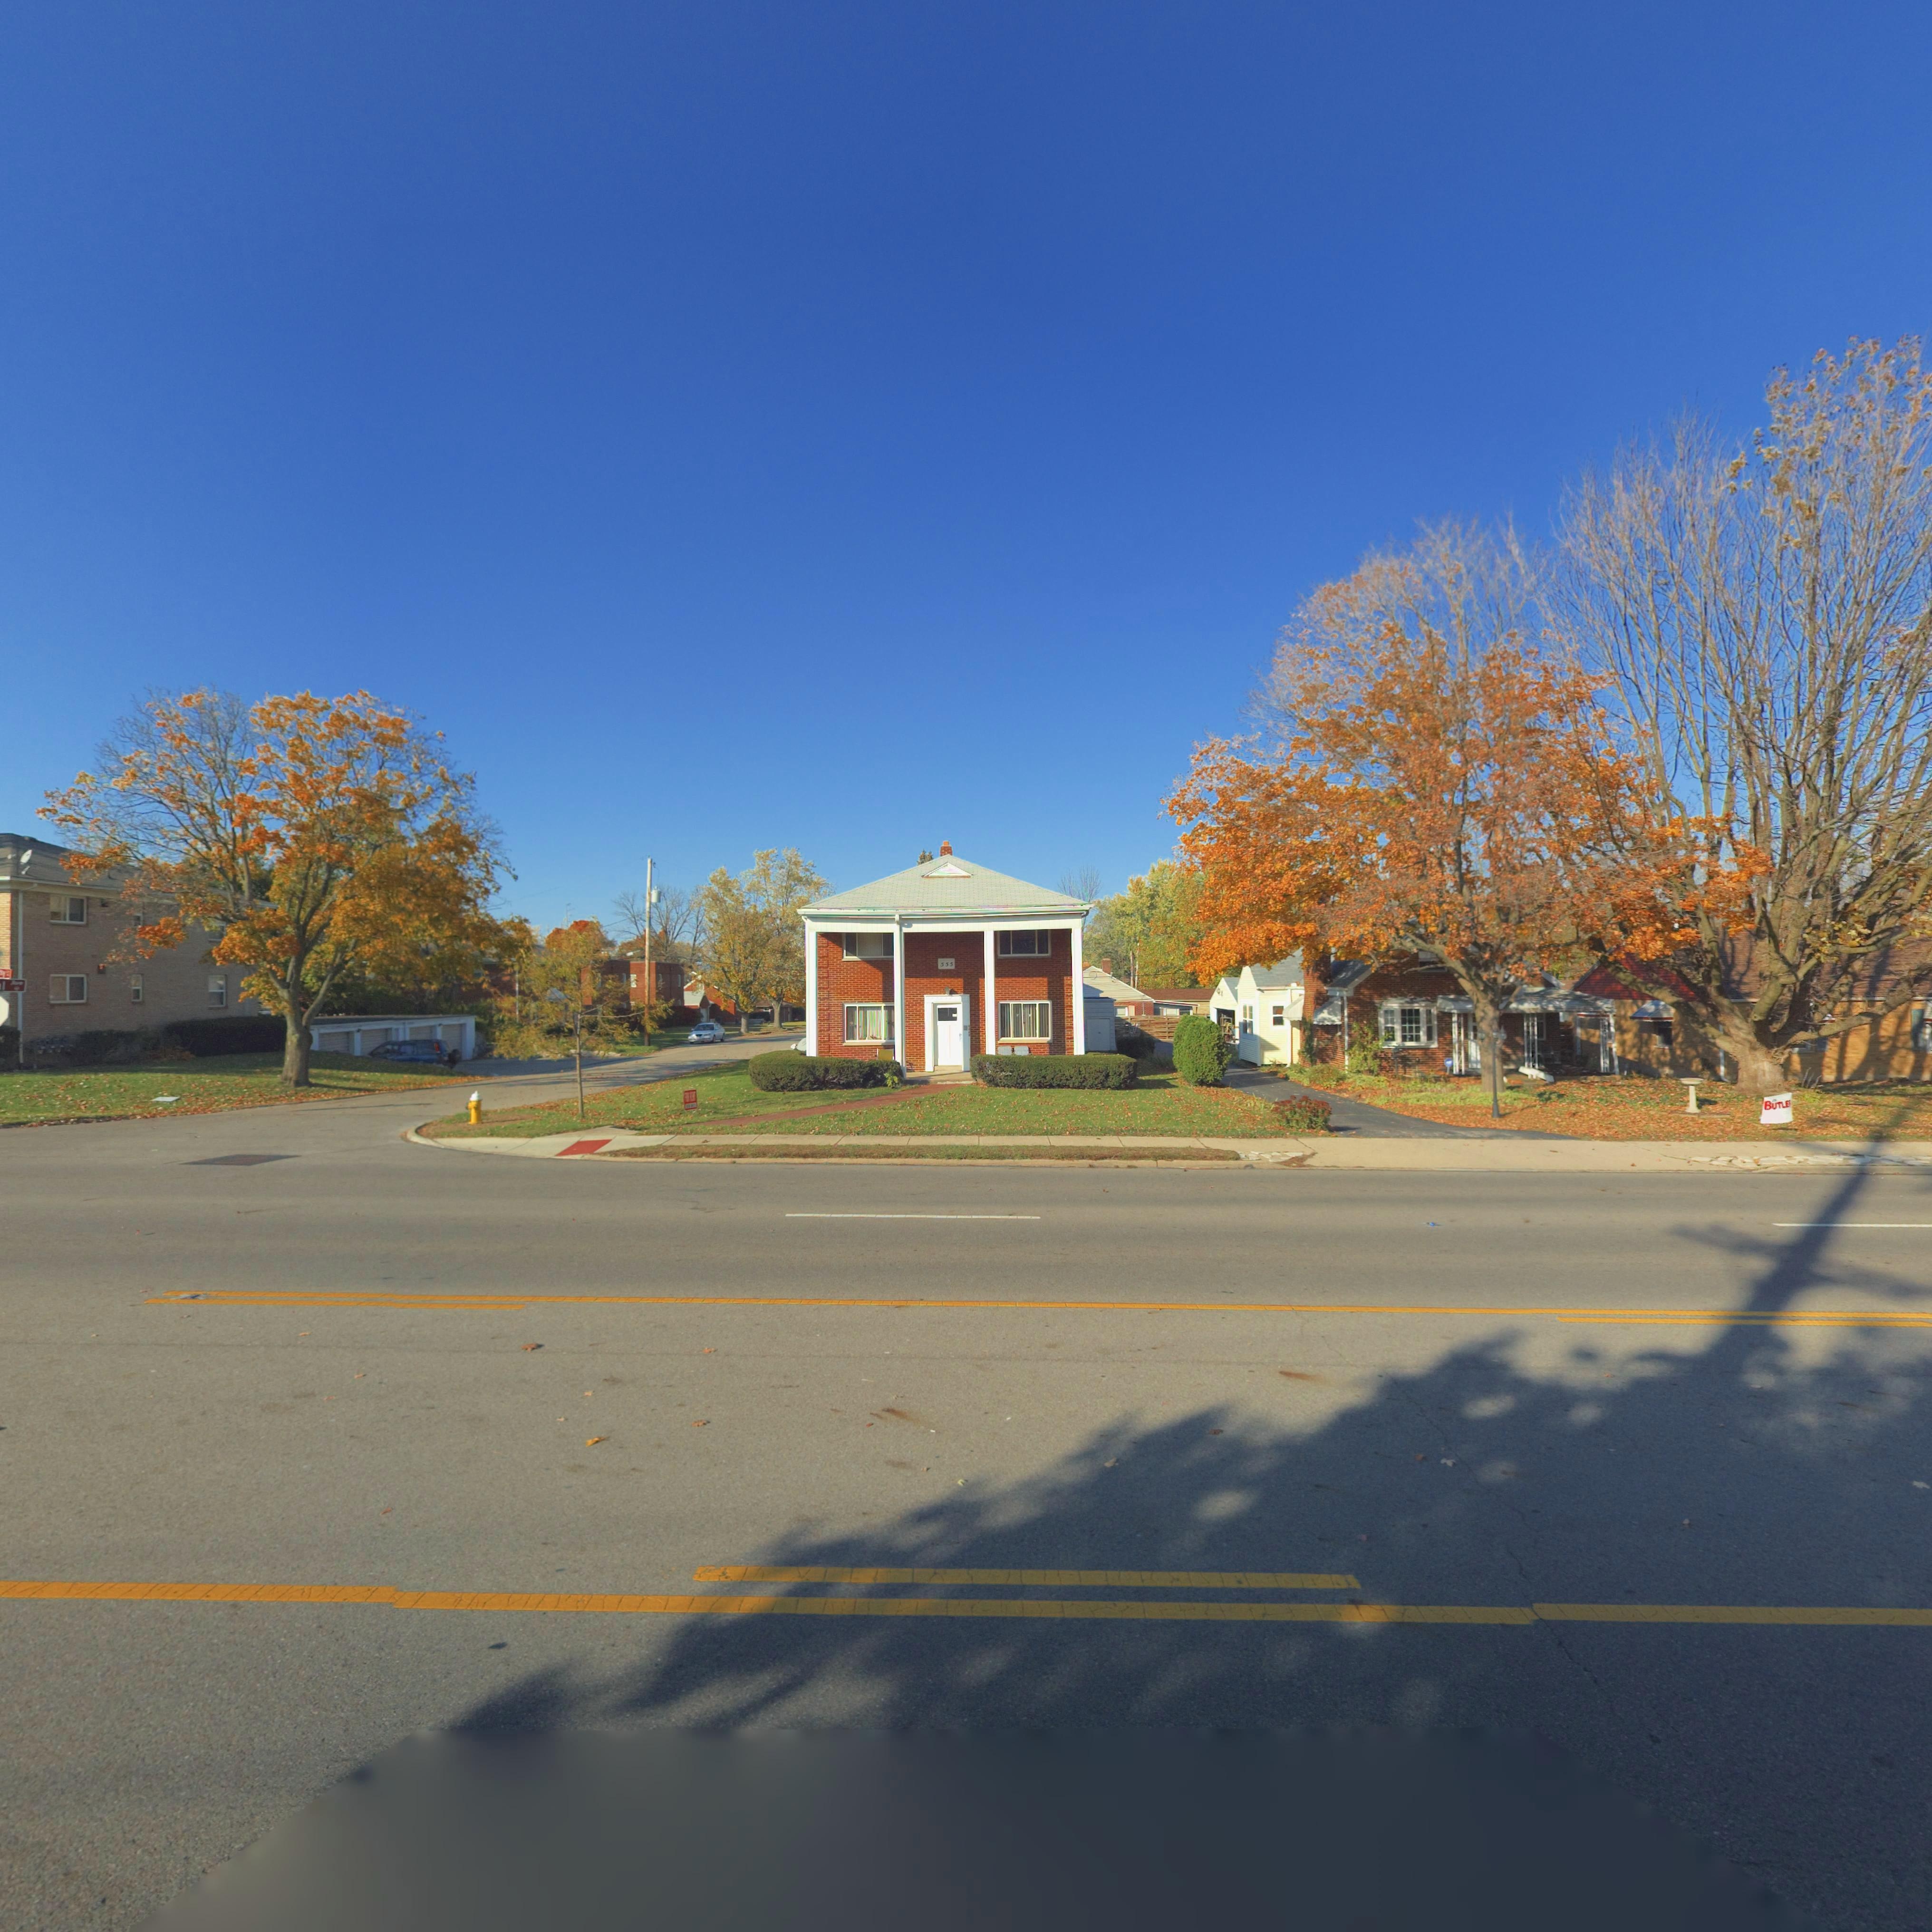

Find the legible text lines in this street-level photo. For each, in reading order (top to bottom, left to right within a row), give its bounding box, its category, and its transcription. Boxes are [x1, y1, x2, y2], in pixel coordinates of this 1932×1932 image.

[940, 961, 954, 967] StreetNumber: 555
[1, 980, 6, 991] StreetName: l